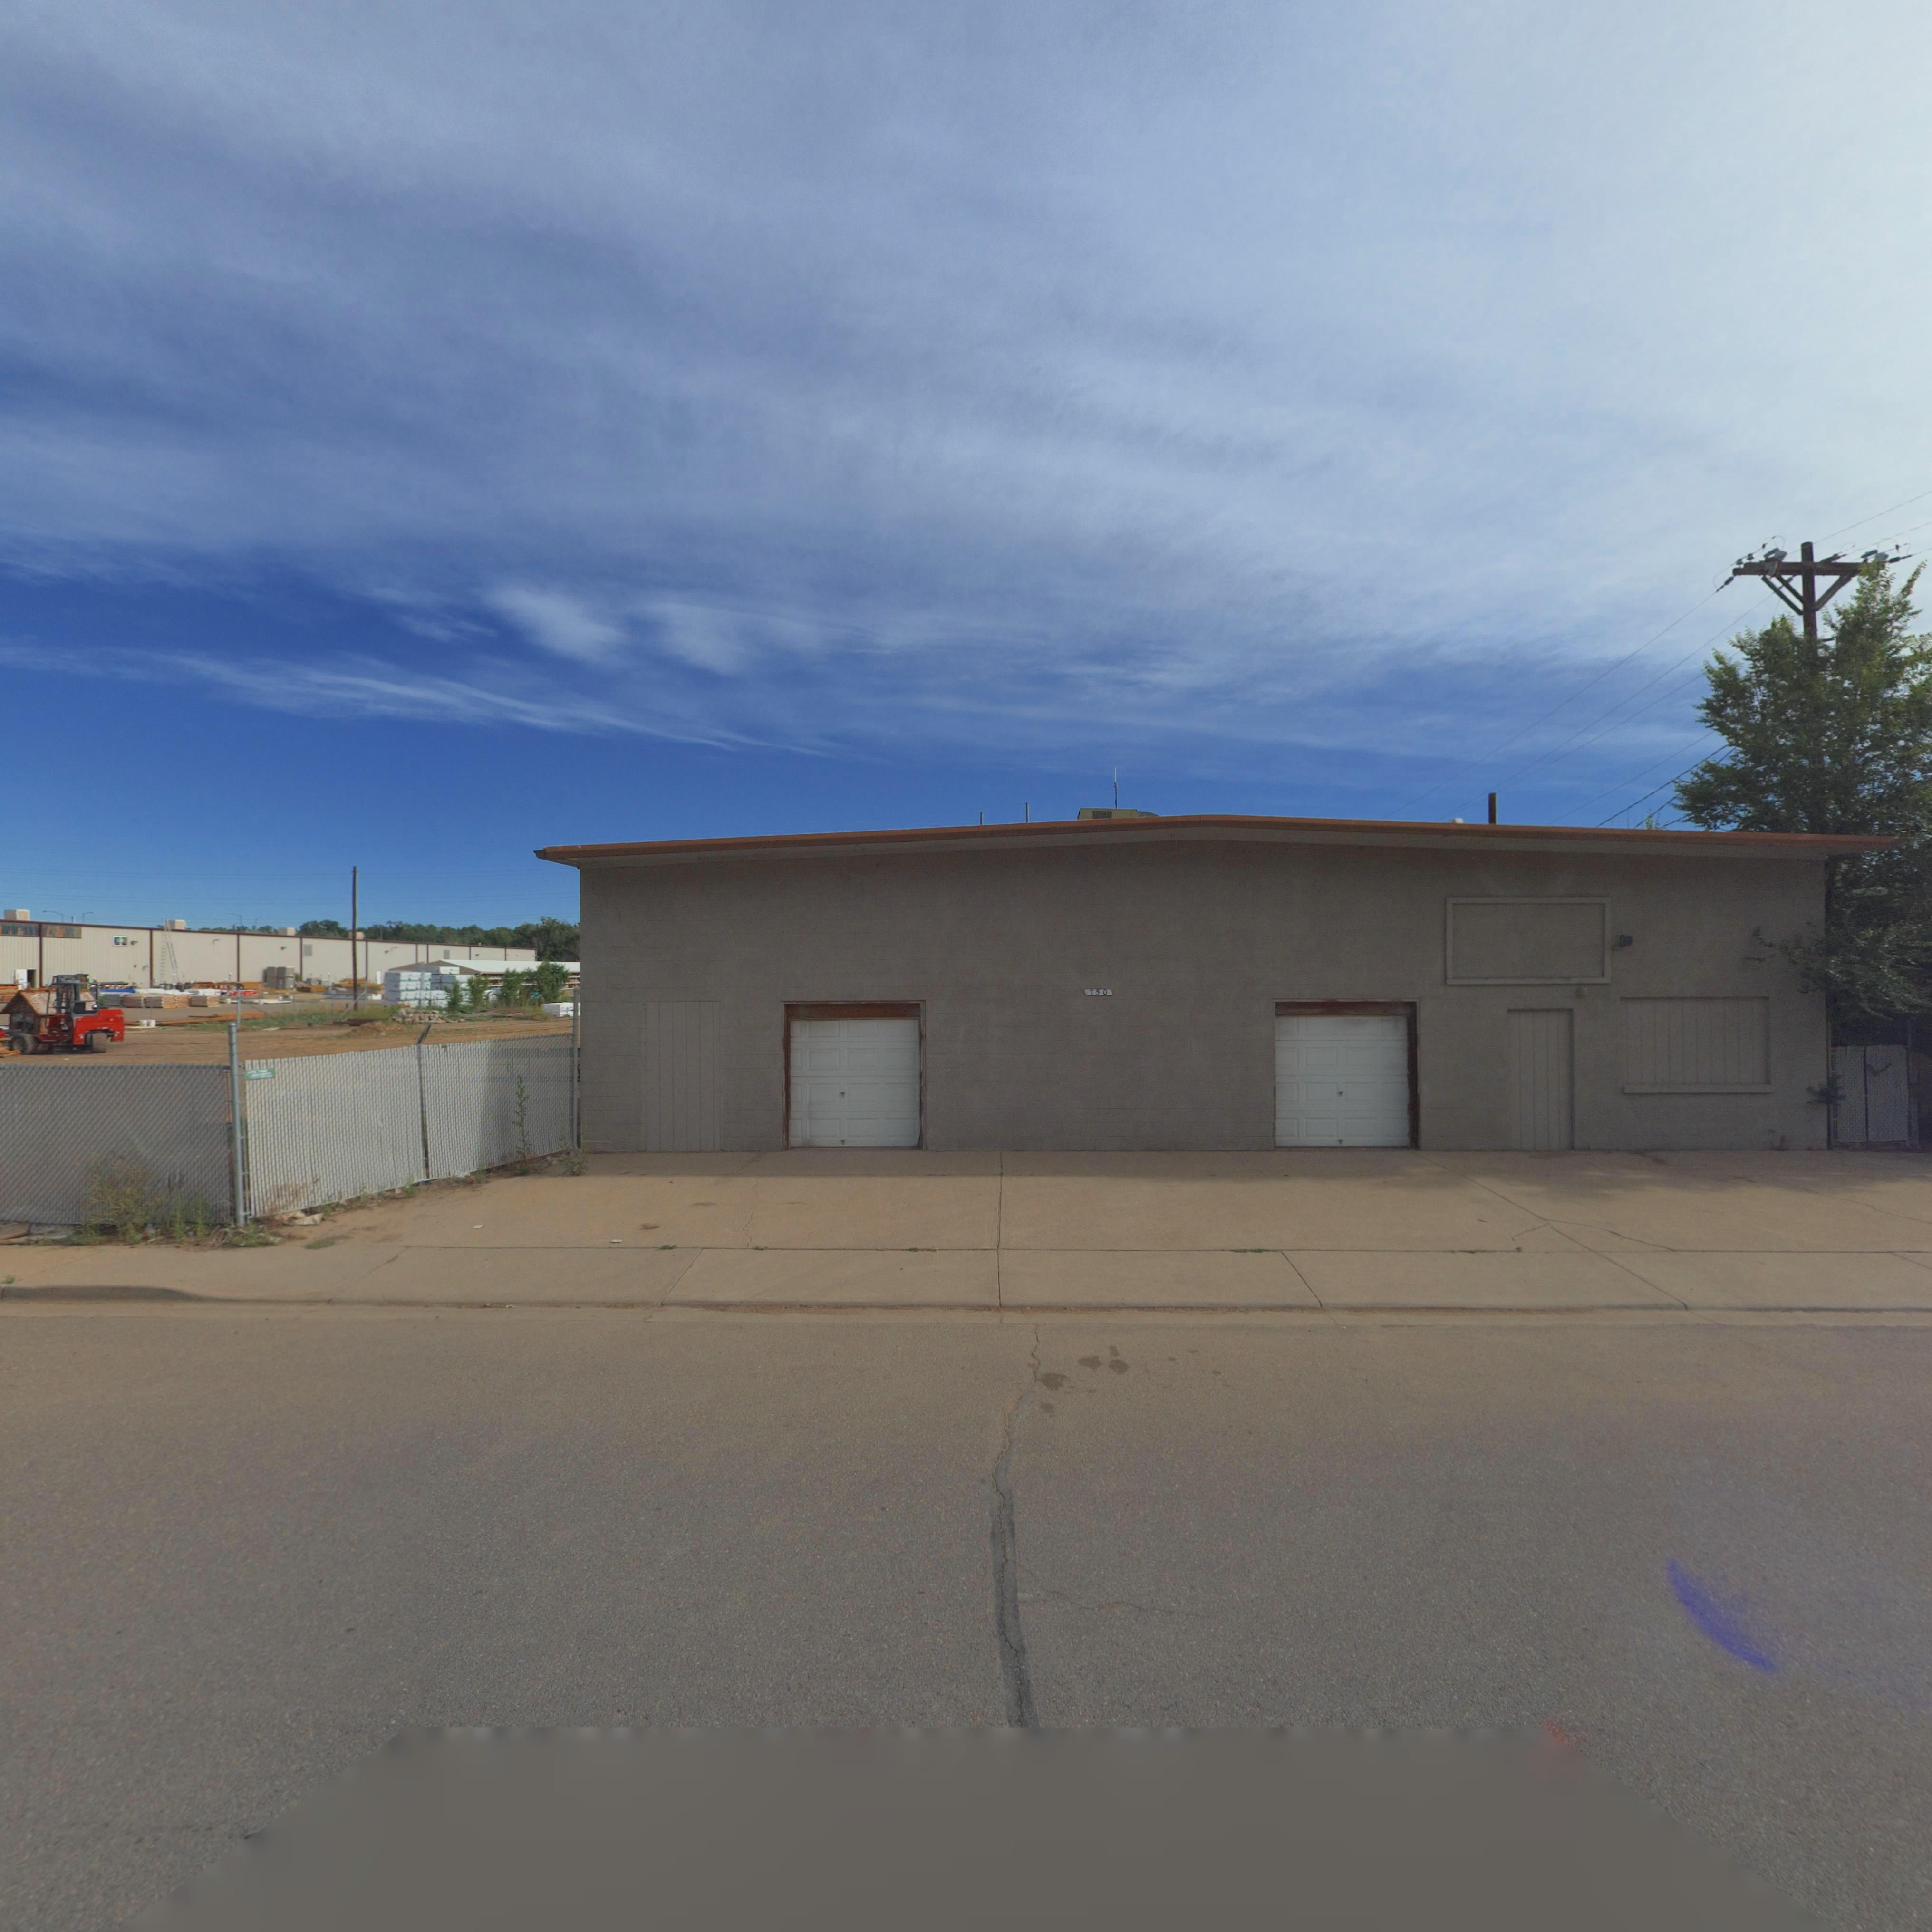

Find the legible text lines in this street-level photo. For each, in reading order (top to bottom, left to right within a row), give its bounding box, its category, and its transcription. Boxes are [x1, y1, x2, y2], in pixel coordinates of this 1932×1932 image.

[1089, 988, 1107, 995] StreetNumber: 750